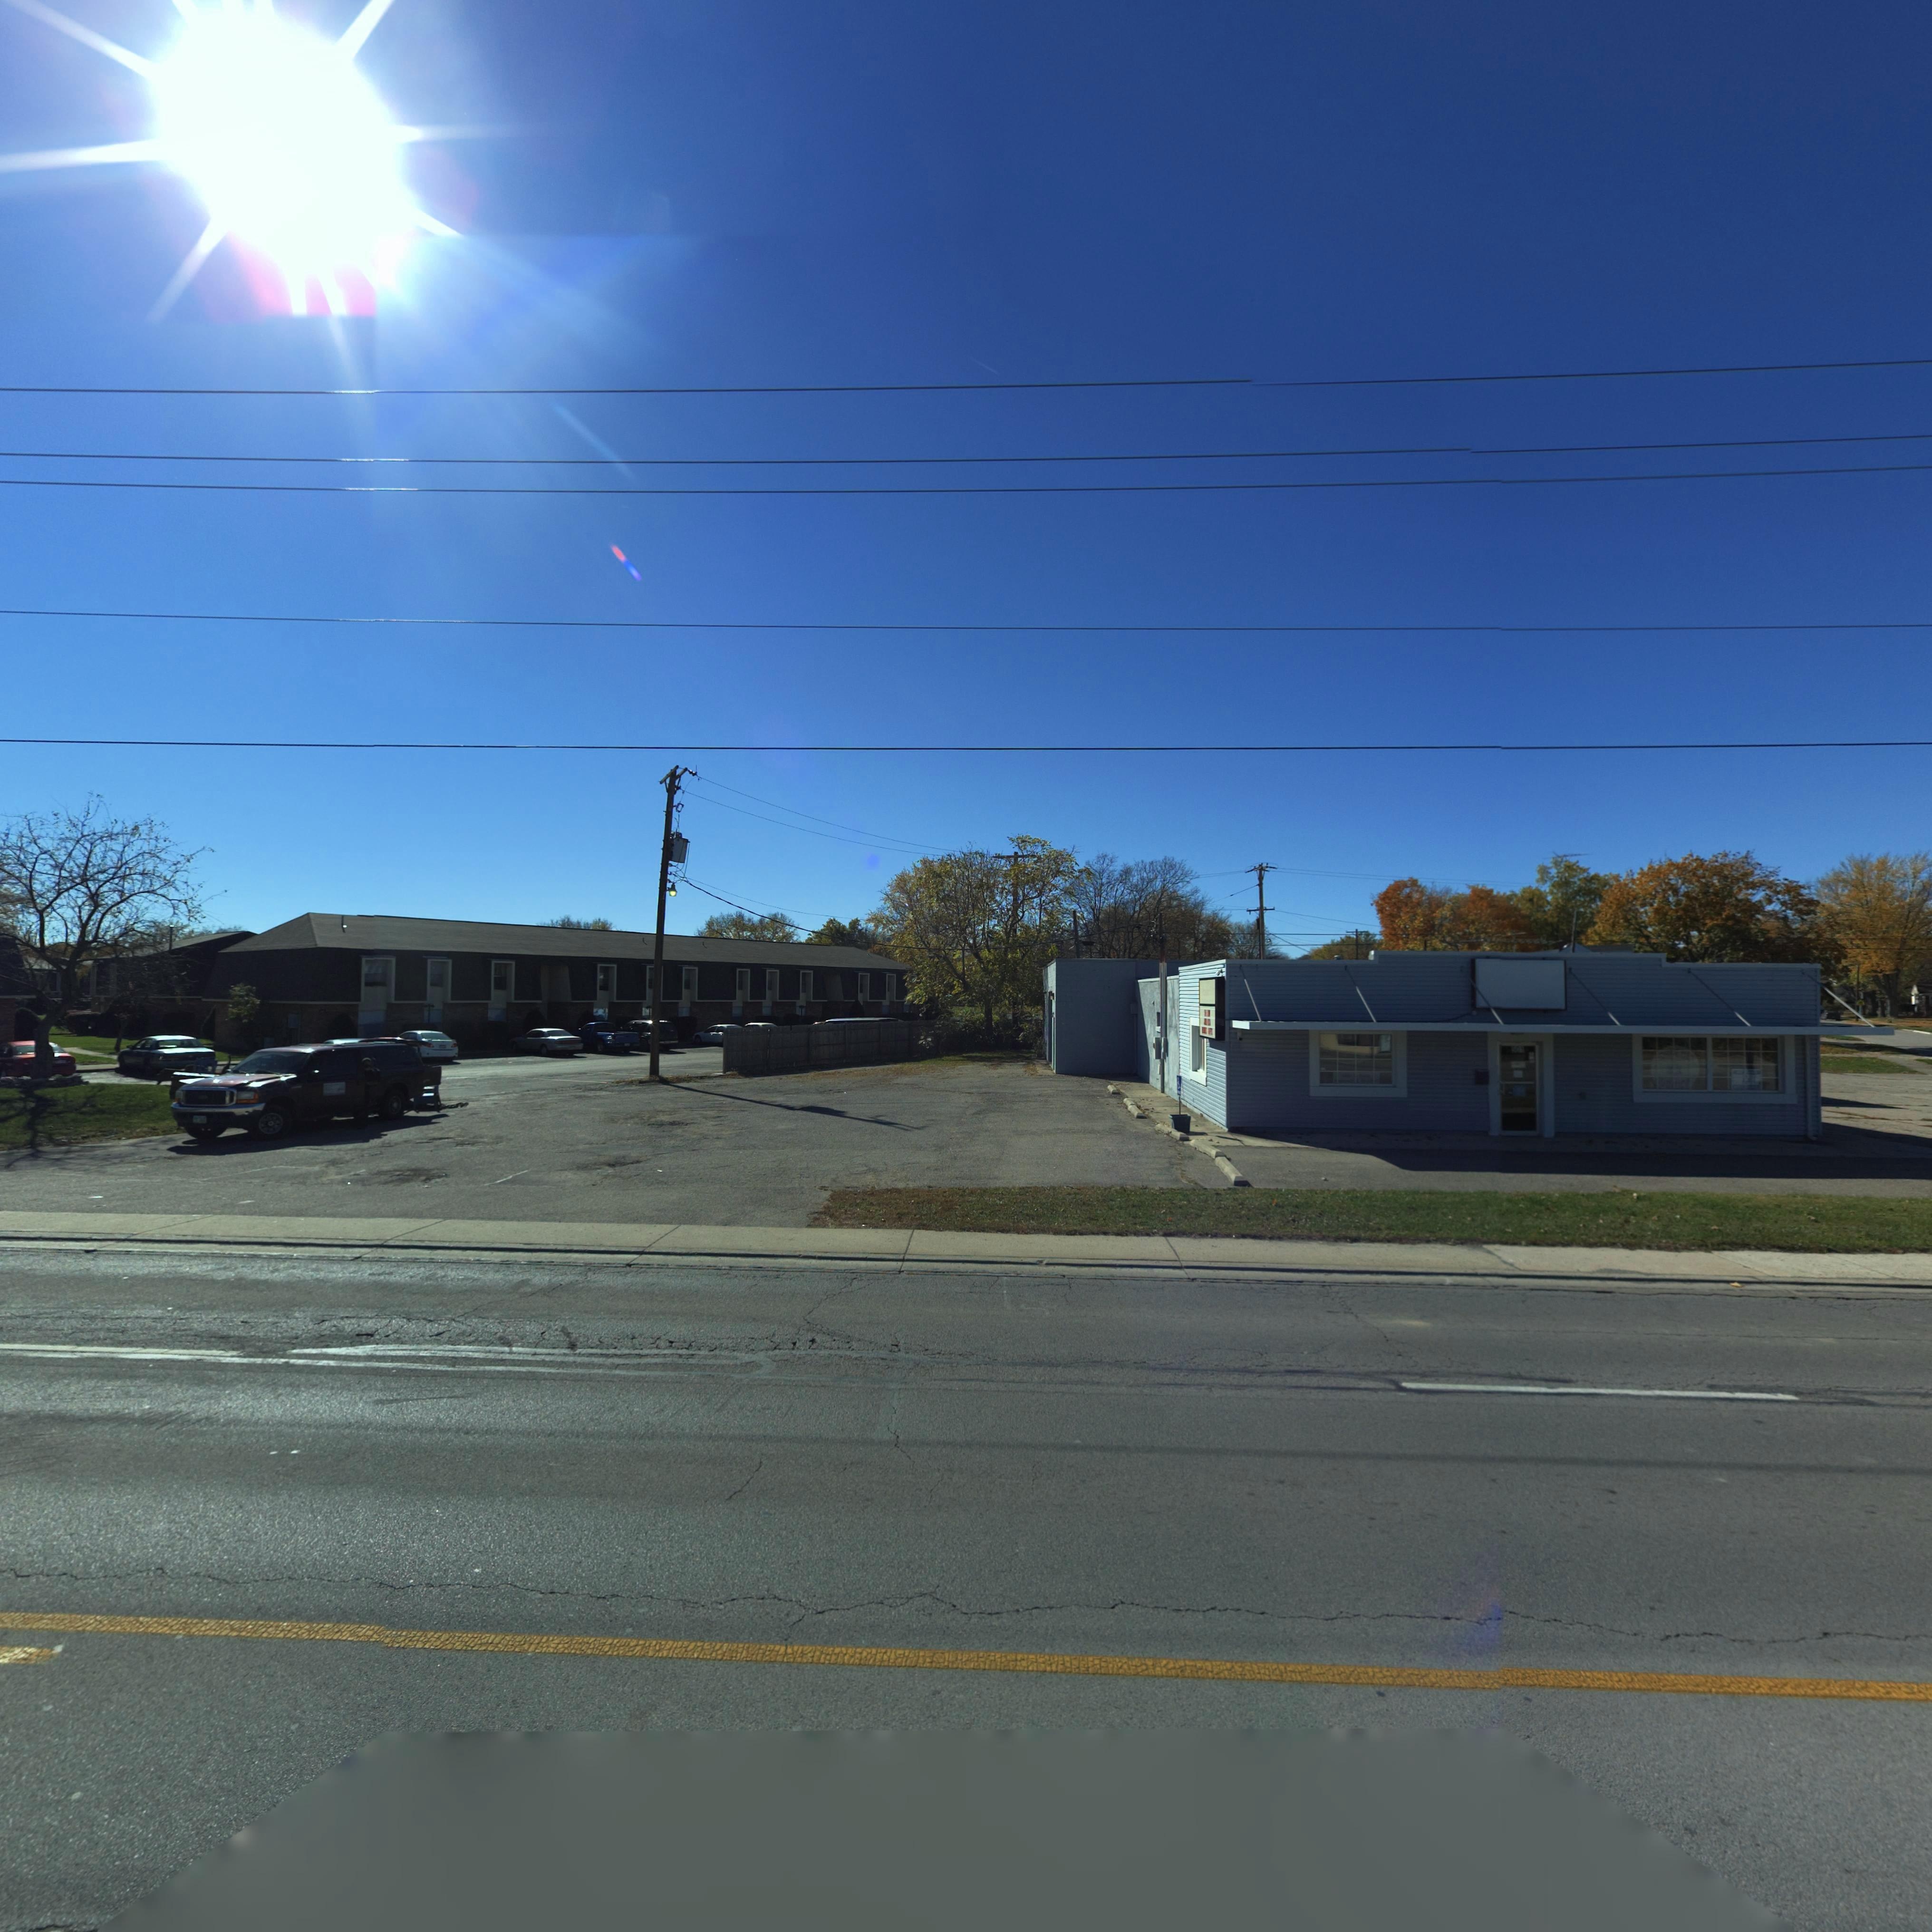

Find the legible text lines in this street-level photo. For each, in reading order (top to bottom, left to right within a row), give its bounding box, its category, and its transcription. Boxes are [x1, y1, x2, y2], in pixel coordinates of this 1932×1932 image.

[1511, 1045, 1524, 1053] StreetNumber: *0*